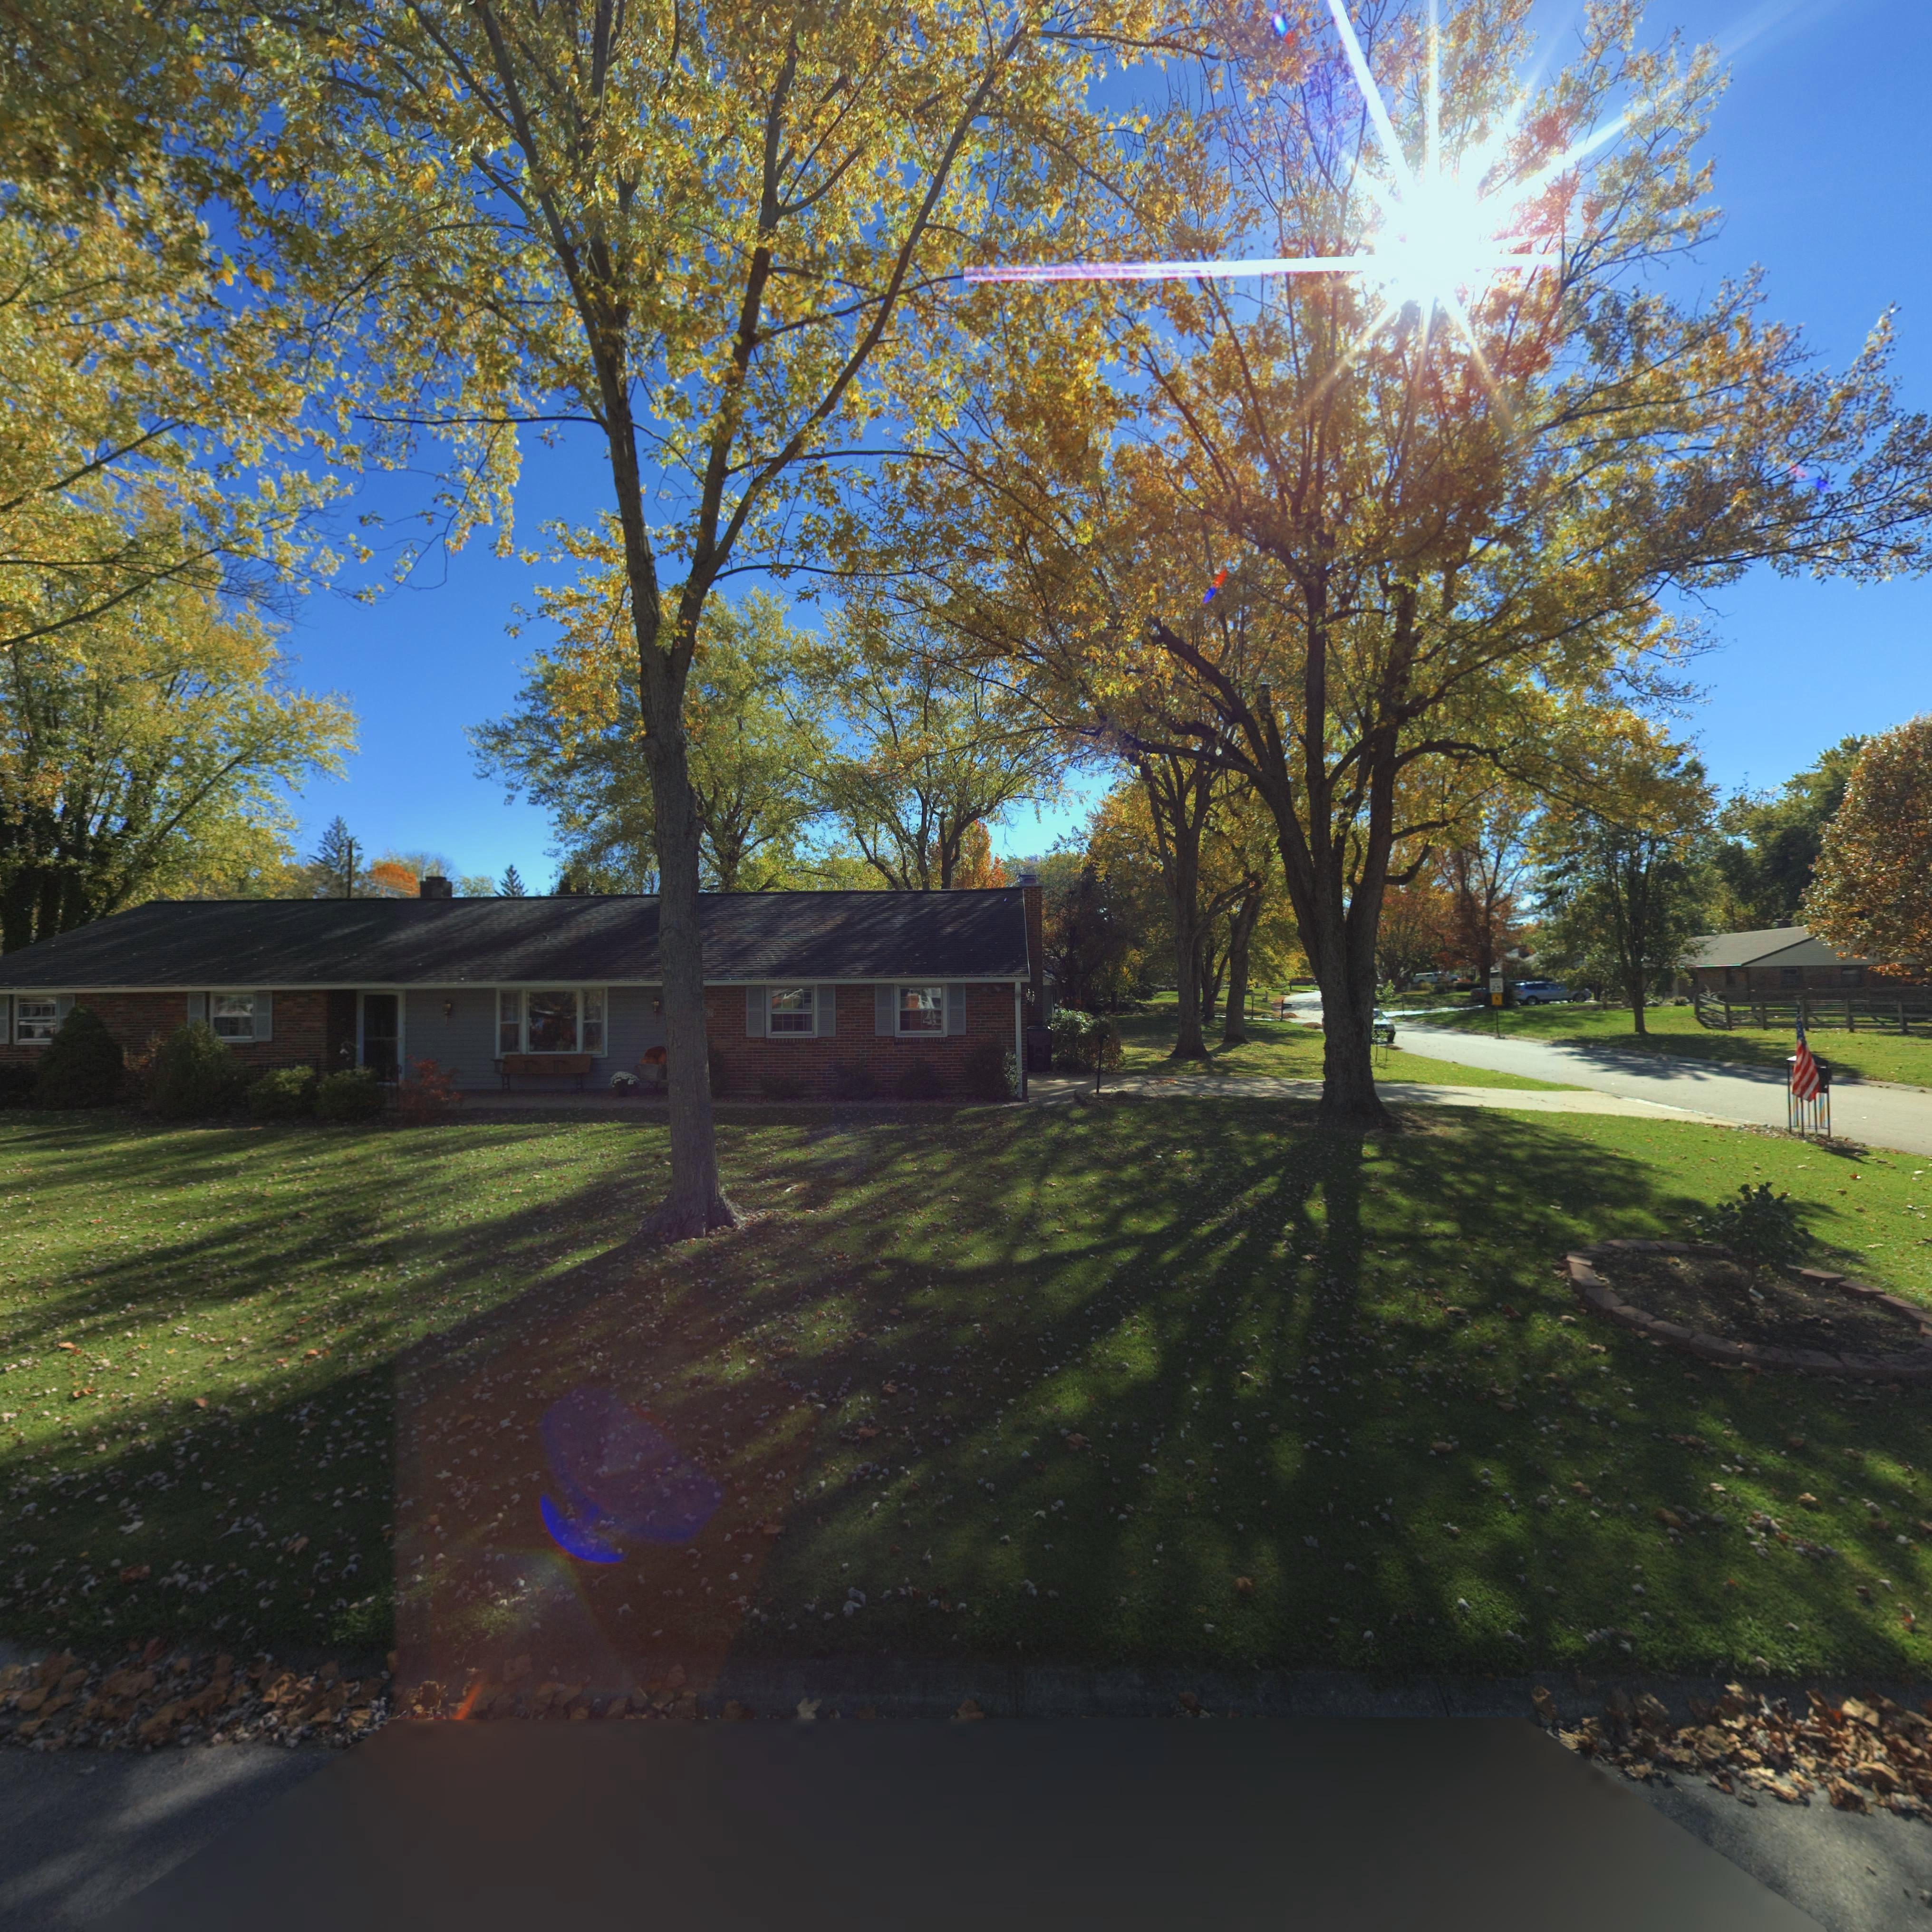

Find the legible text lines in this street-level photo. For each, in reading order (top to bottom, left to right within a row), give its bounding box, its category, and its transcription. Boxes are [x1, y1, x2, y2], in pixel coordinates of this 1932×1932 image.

[1491, 985, 1502, 991] None: 25
[704, 1009, 713, 1017] StreetNumber: 56